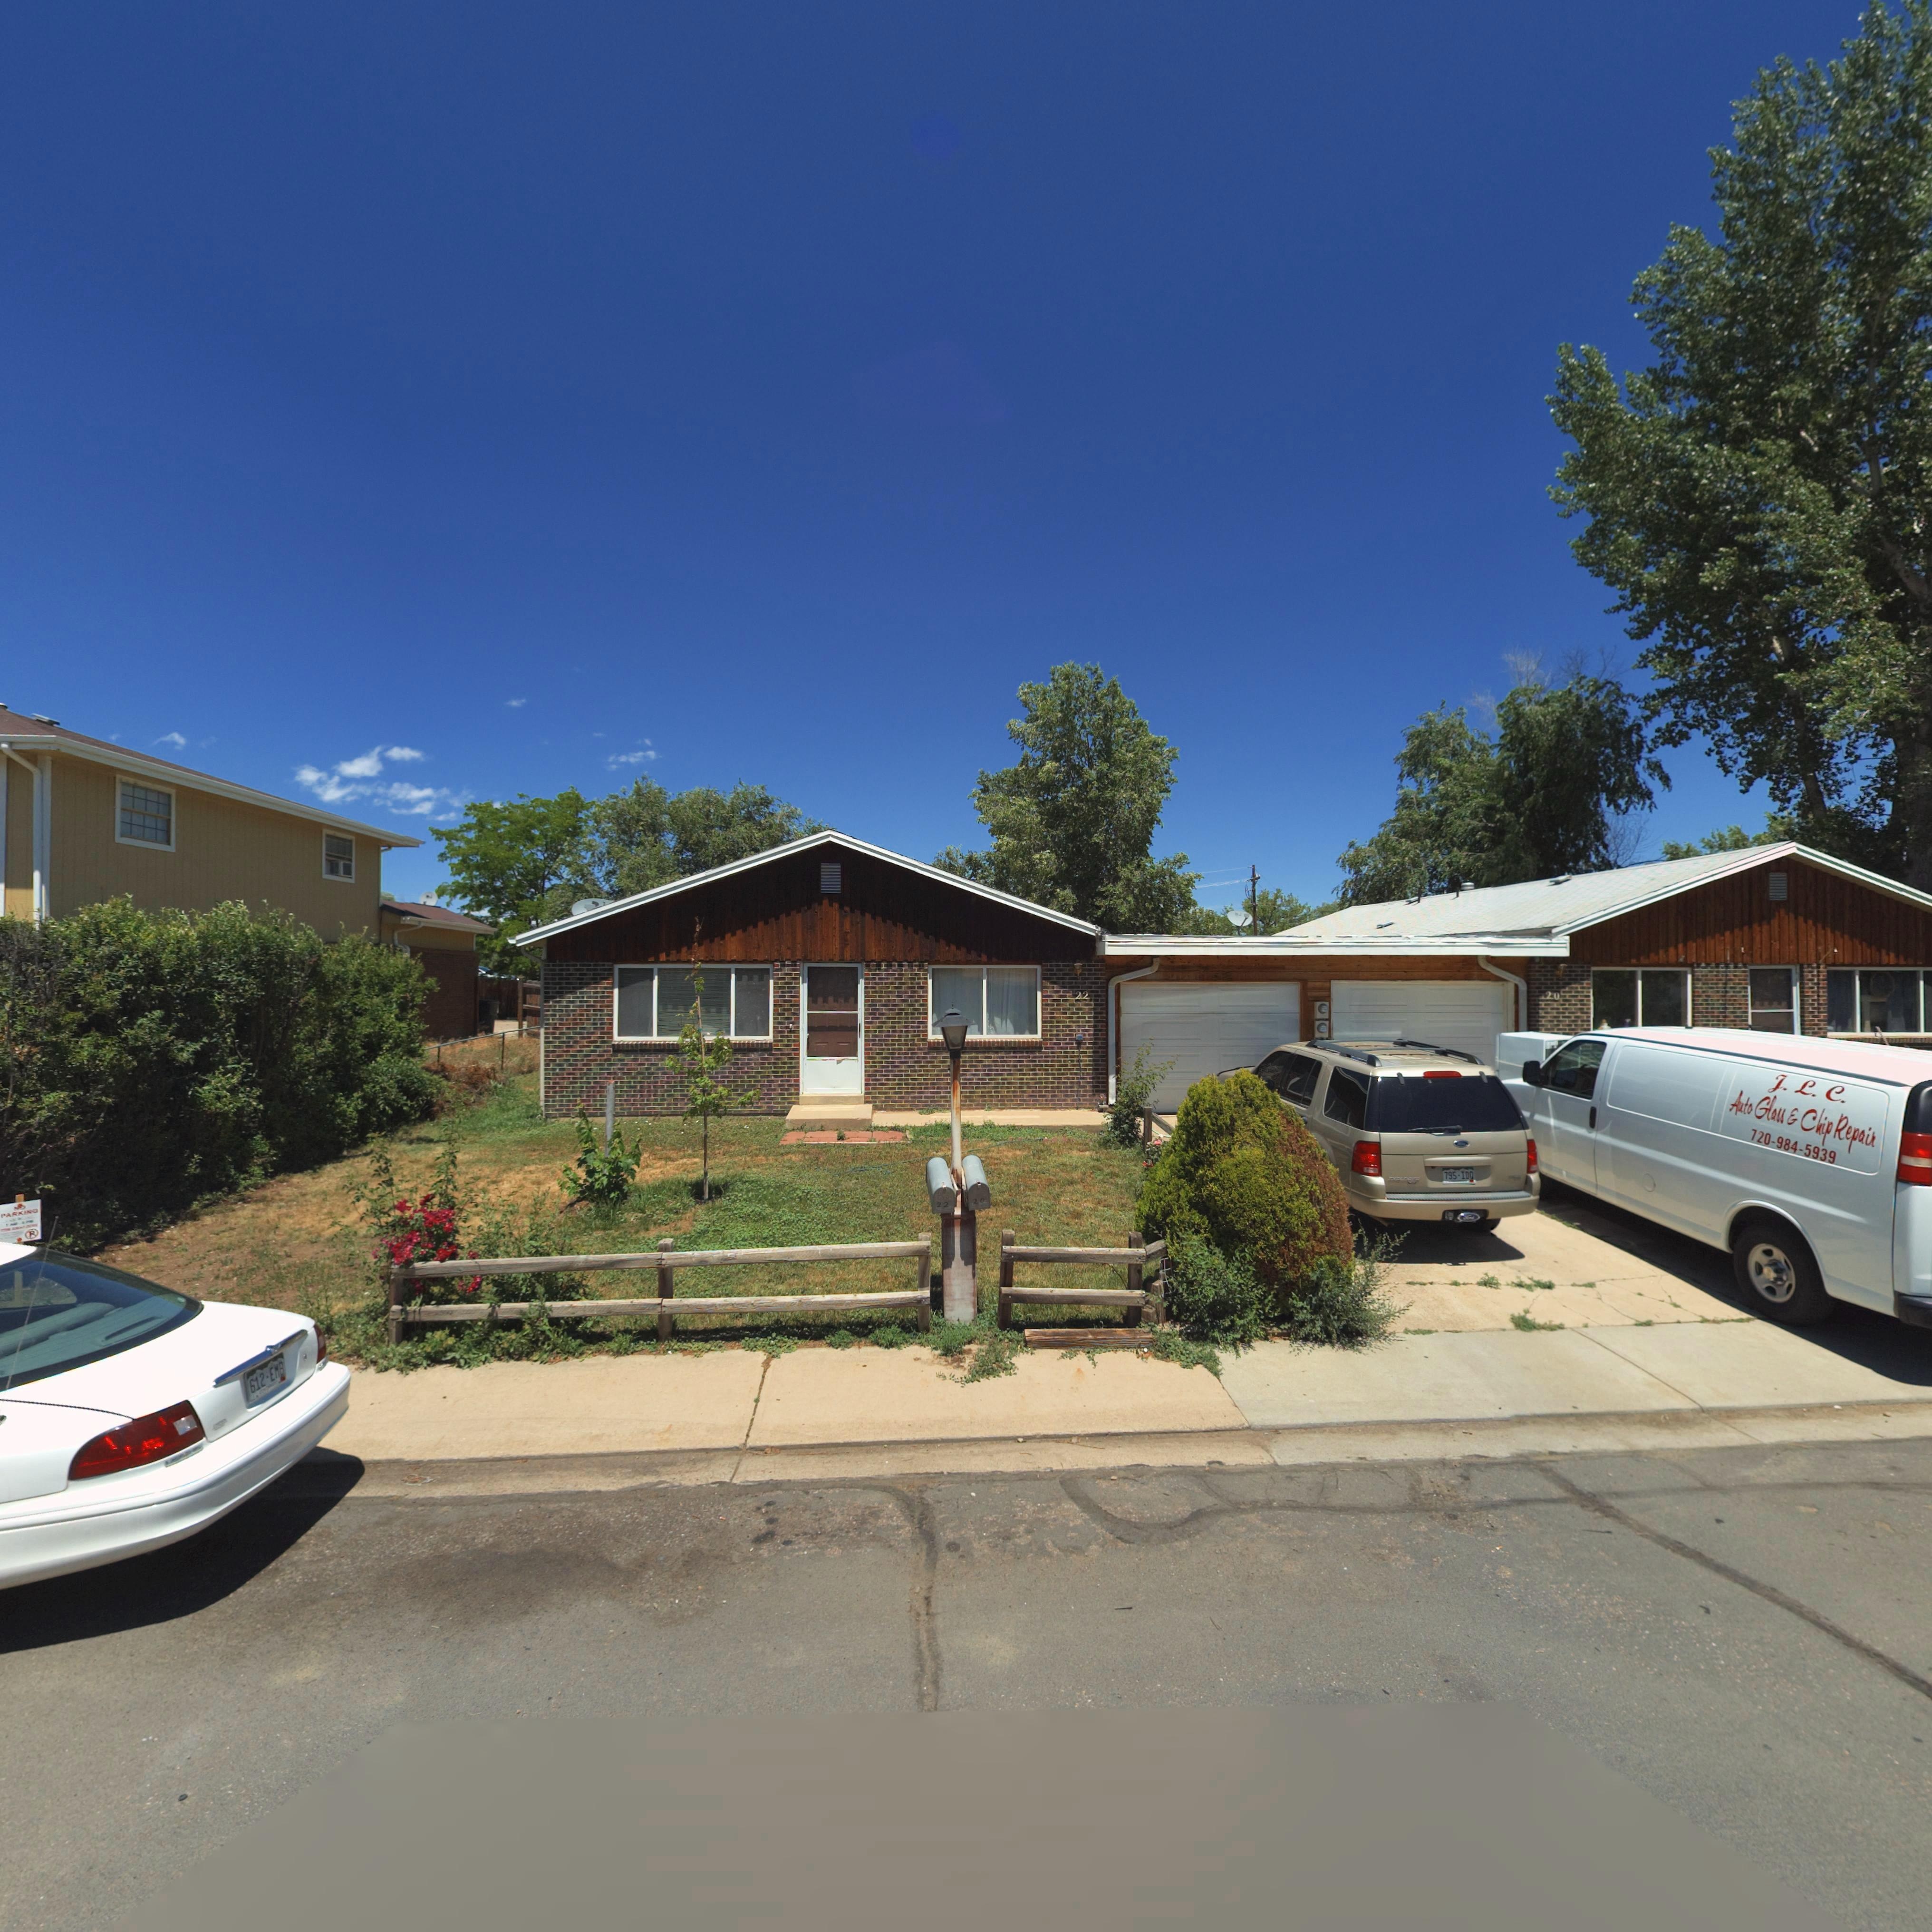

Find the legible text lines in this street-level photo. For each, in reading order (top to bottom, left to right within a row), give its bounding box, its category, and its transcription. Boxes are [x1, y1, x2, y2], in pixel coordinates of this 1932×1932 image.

[1072, 989, 1092, 1000] StreetNumber: 22
[1749, 1129, 1837, 1164] PhoneNumber: 720-984-5939
[935, 1200, 949, 1208] StreetNumber: 22
[972, 1196, 985, 1205] StreetNumber: 20